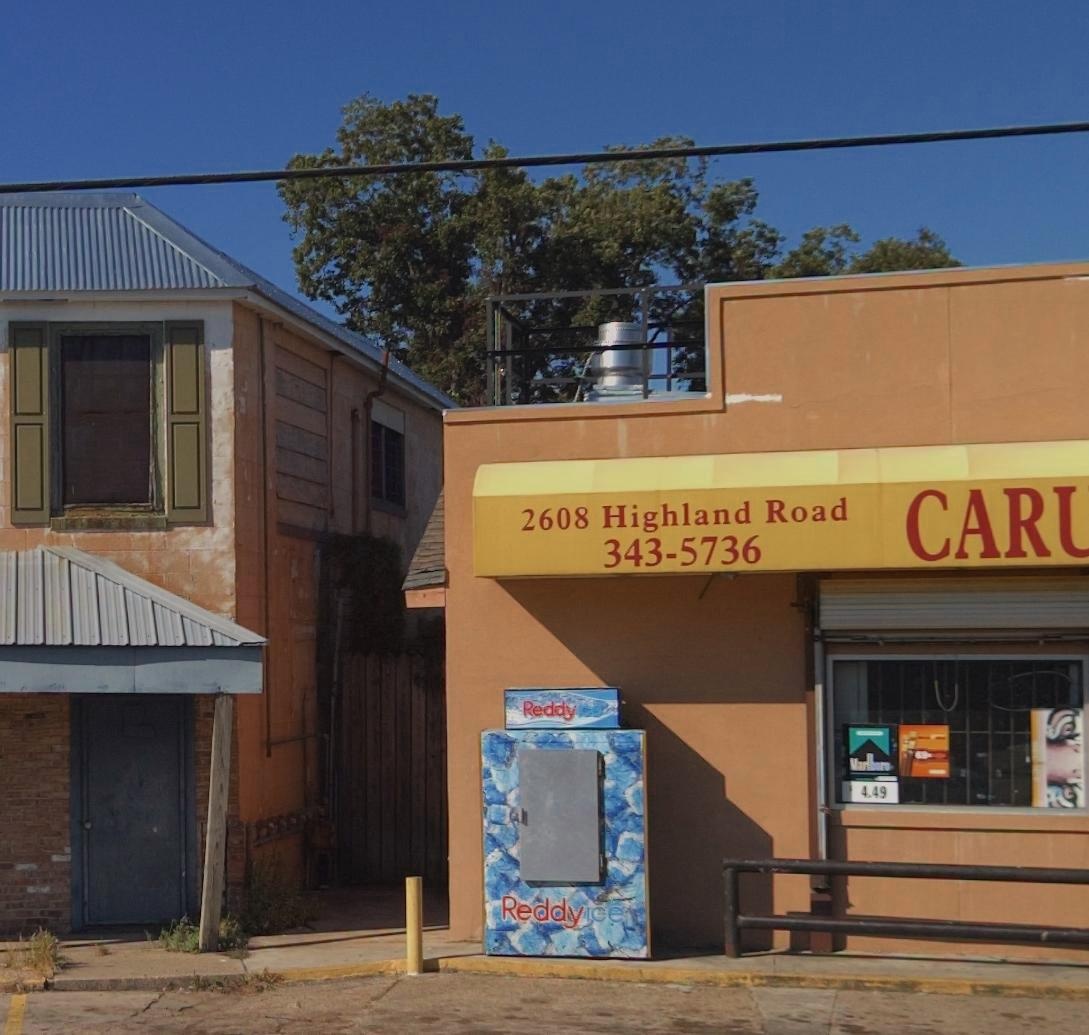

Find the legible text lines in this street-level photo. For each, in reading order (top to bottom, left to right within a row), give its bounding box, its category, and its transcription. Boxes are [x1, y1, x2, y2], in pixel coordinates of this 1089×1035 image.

[517, 503, 593, 535] StreetNumber: 2608
[597, 494, 852, 536] StreetName: Highland Road
[902, 483, 1057, 565] BusinessName: CAR
[599, 530, 767, 571] None: 343-5736
[520, 697, 582, 726] None: Reddy
[848, 751, 892, 774] None: Marlboro
[858, 783, 889, 802] None: 4.49
[500, 892, 626, 931] None: Reddyice